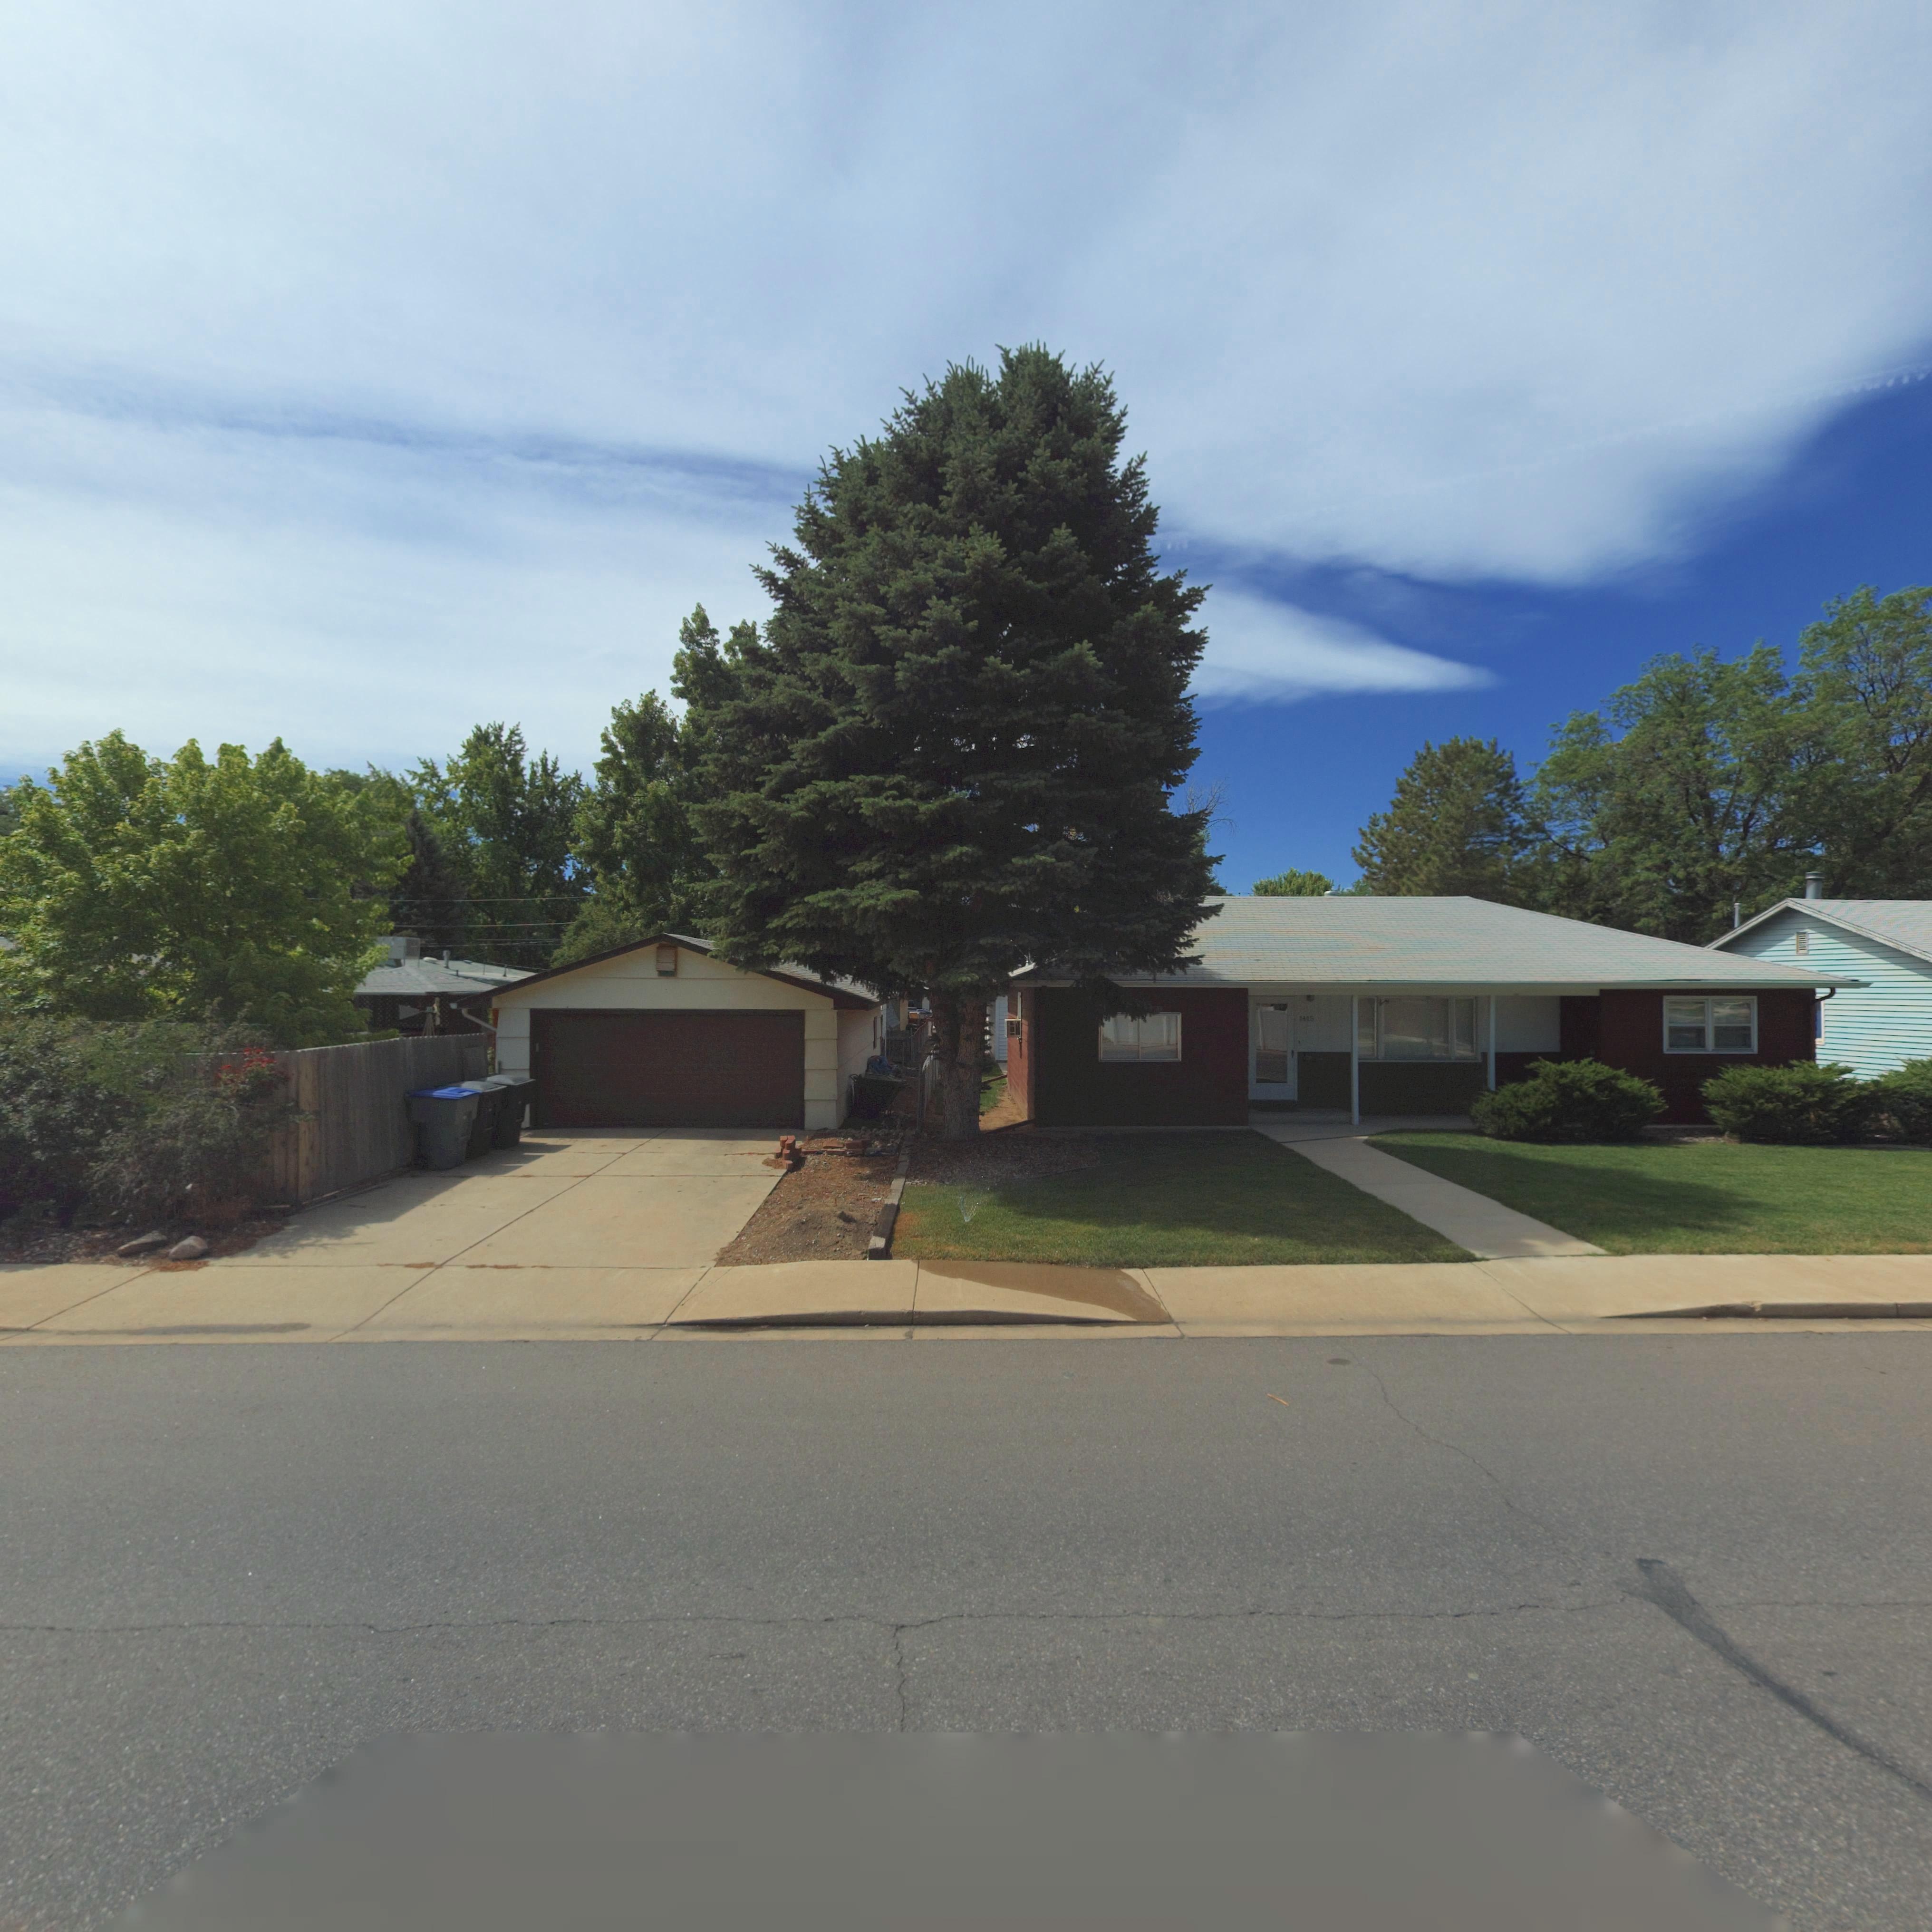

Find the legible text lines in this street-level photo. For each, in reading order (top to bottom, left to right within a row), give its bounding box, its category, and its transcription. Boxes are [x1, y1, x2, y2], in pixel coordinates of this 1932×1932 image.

[1297, 1014, 1314, 1022] StreetNumber: 1405